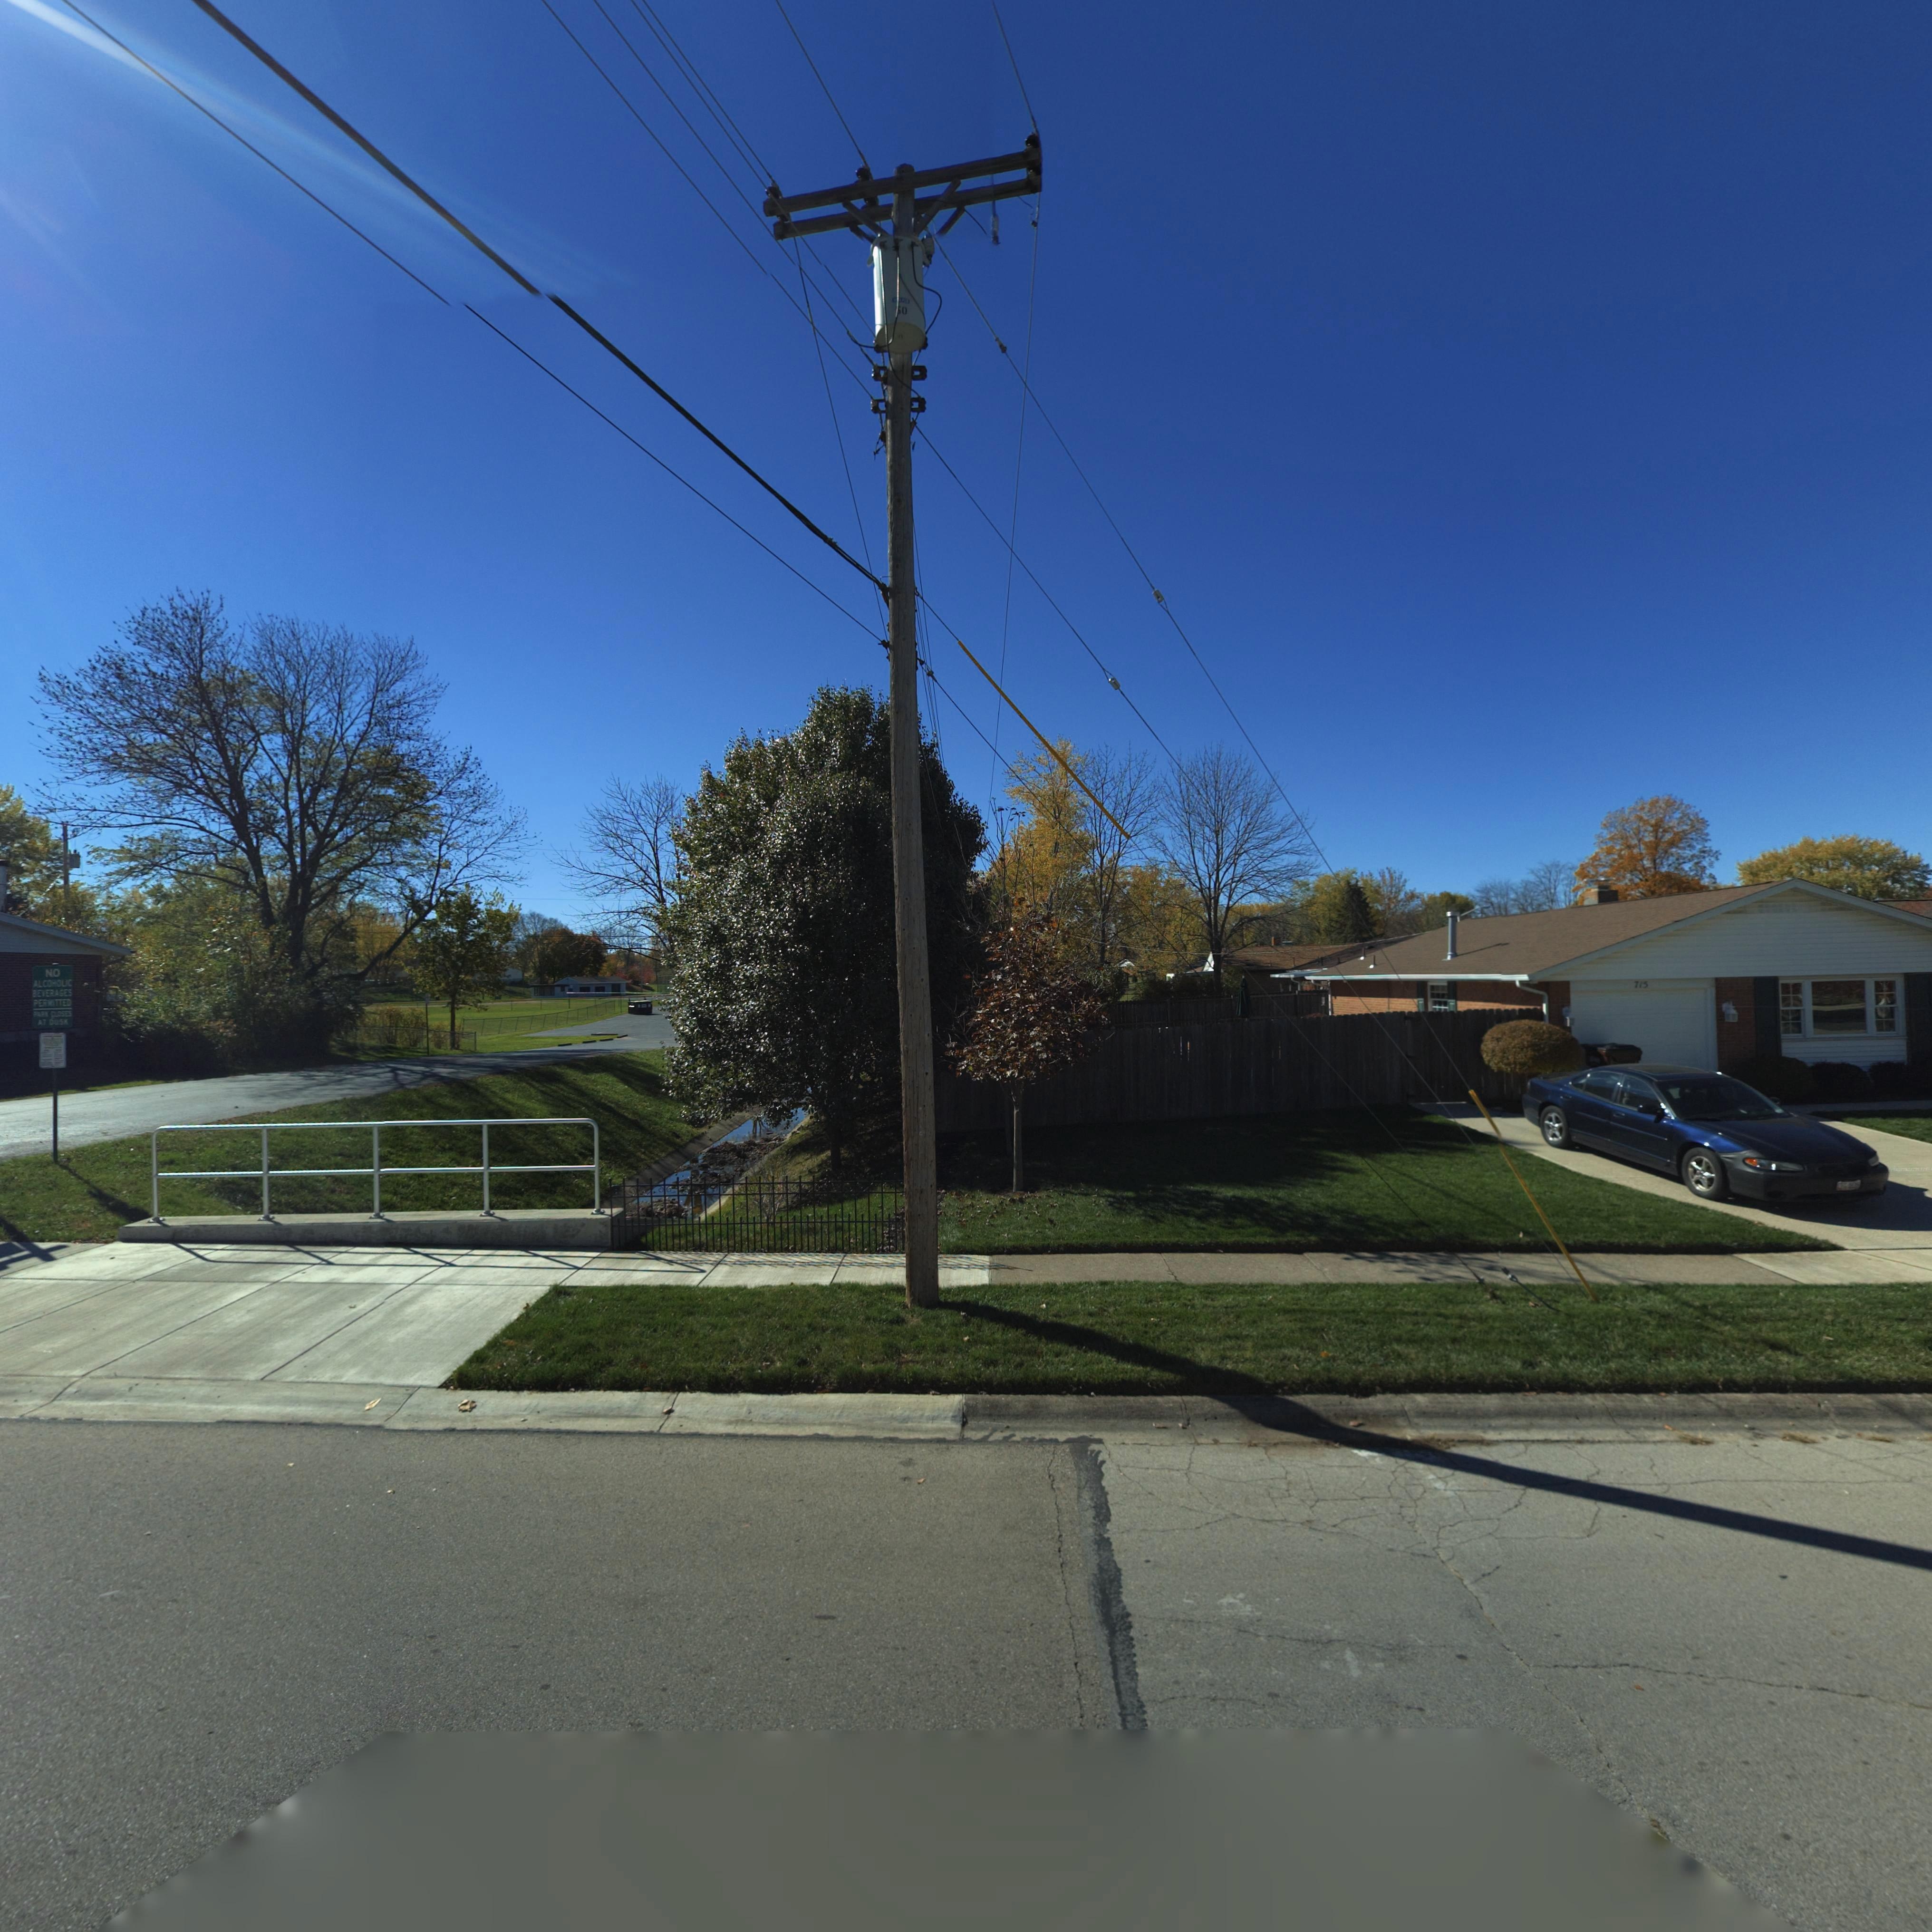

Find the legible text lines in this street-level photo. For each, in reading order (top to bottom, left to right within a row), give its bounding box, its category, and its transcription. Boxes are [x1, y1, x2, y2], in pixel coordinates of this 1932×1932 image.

[44, 968, 61, 978] None: NO
[32, 979, 73, 988] None: ALCOHOLIC
[1633, 980, 1649, 989] StreetNumber: 715
[31, 988, 73, 998] None: BEVERAGES
[32, 998, 72, 1008] None: PERMITTED
[32, 1010, 72, 1018] None: PARK CLOSES
[37, 1018, 69, 1026] None: AT DUSK